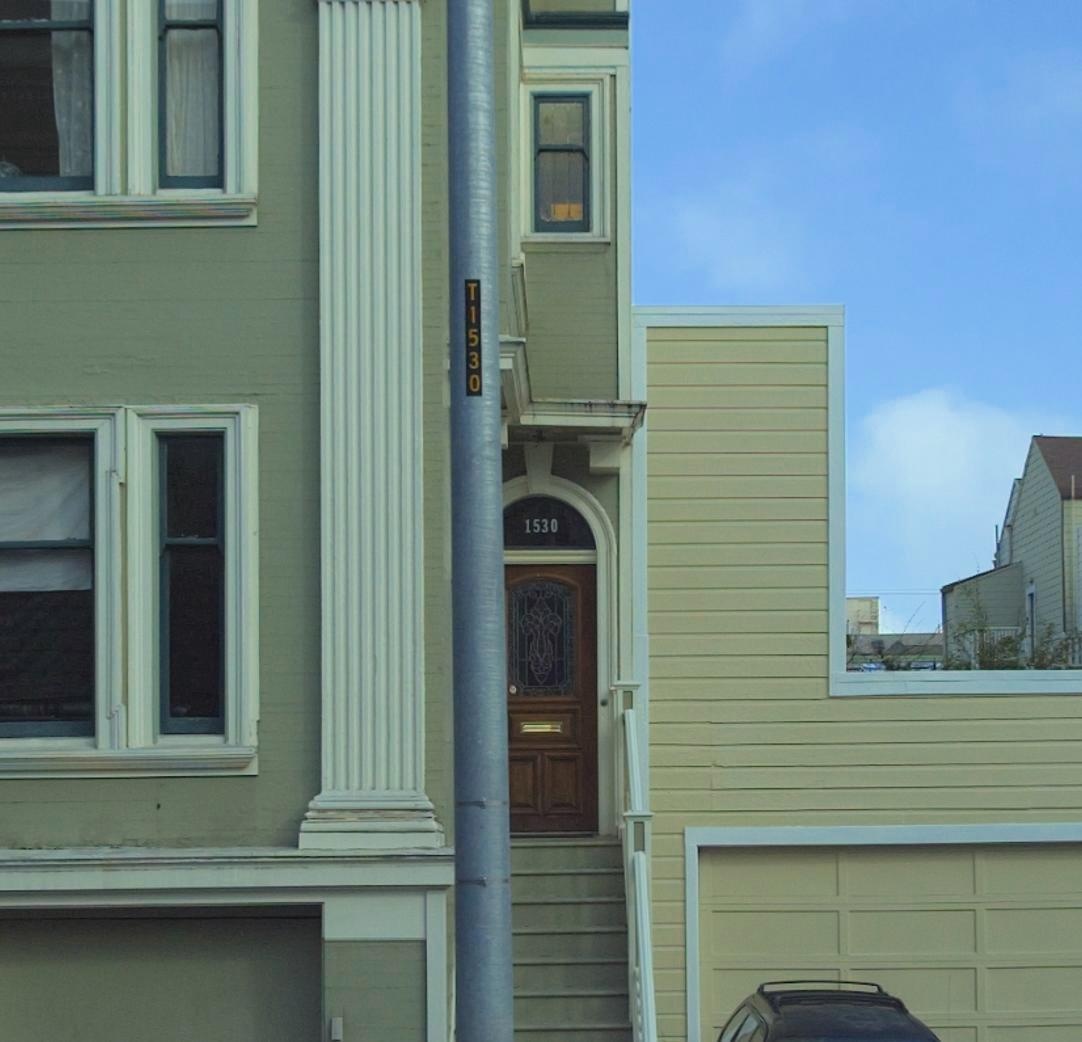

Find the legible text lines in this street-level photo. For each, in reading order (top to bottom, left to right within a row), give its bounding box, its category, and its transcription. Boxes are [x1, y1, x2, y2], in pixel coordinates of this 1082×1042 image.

[465, 280, 483, 395] None: T1530
[523, 517, 560, 536] StreetNumber: 1530